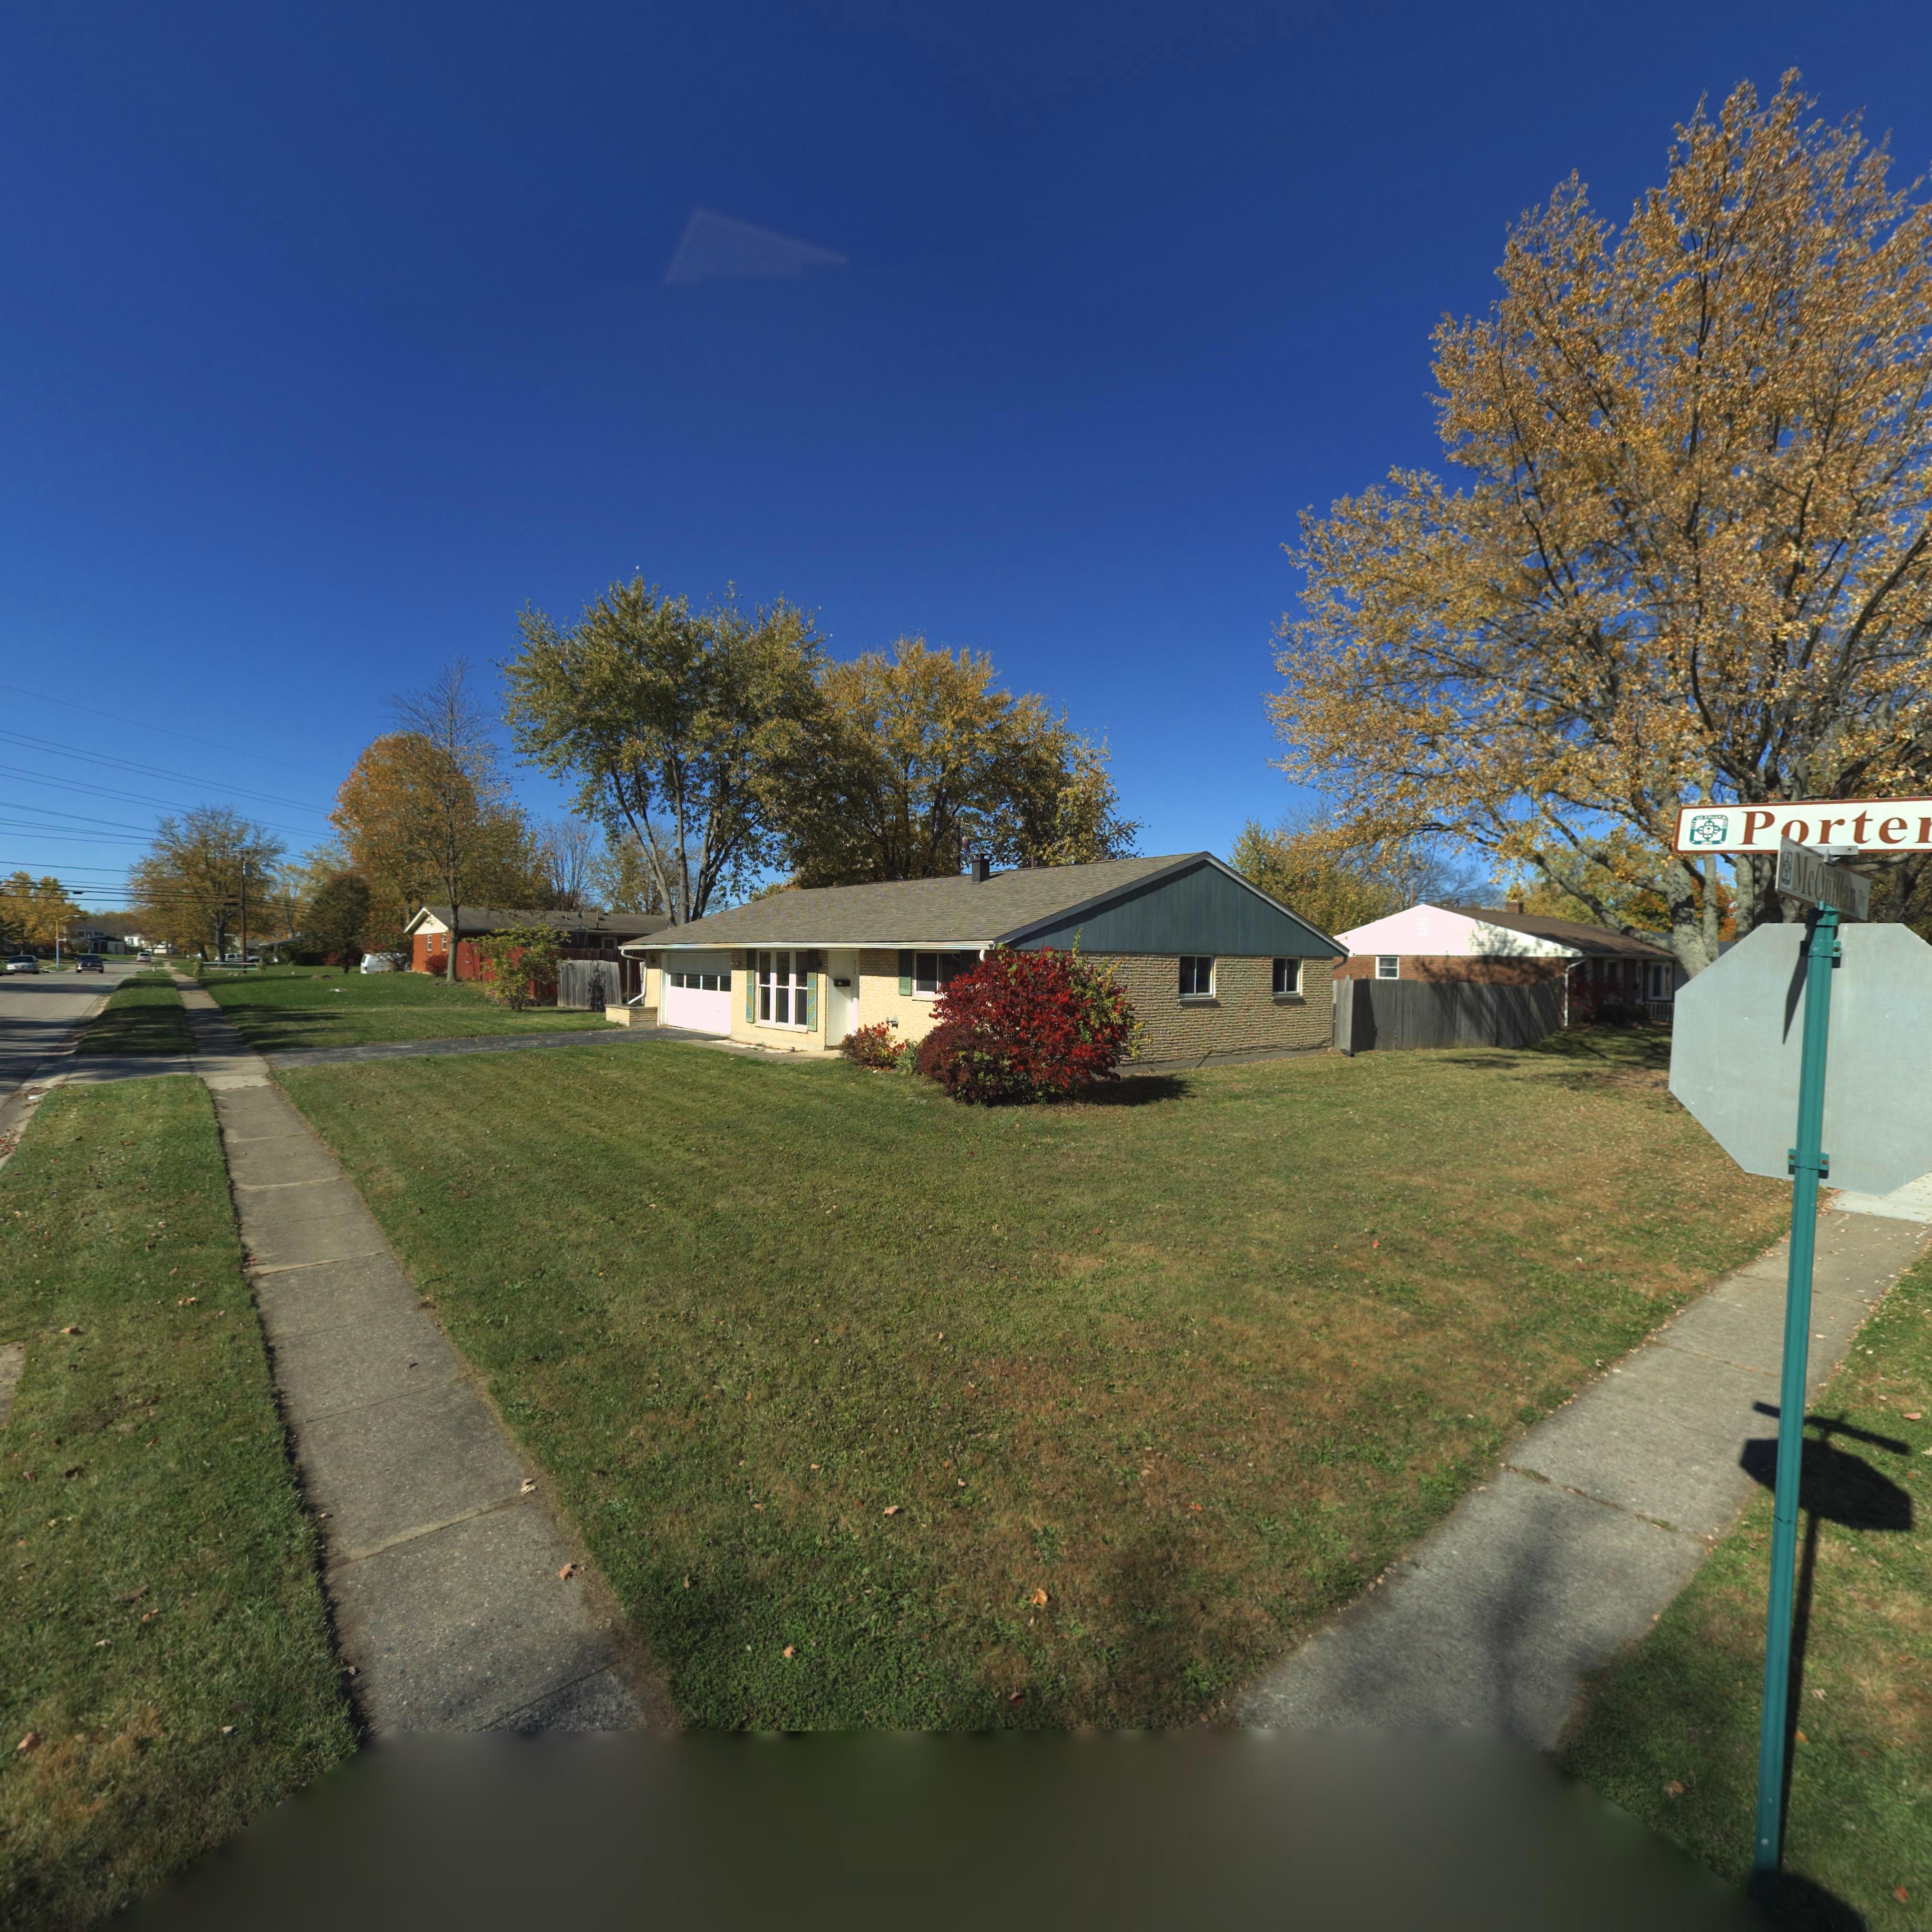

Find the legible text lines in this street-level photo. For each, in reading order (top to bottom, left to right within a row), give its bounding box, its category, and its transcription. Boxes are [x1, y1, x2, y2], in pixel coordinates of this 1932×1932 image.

[1792, 850, 1867, 914] StreetName: McQuillan Dr
[854, 959, 857, 975] StreetNumber: 216